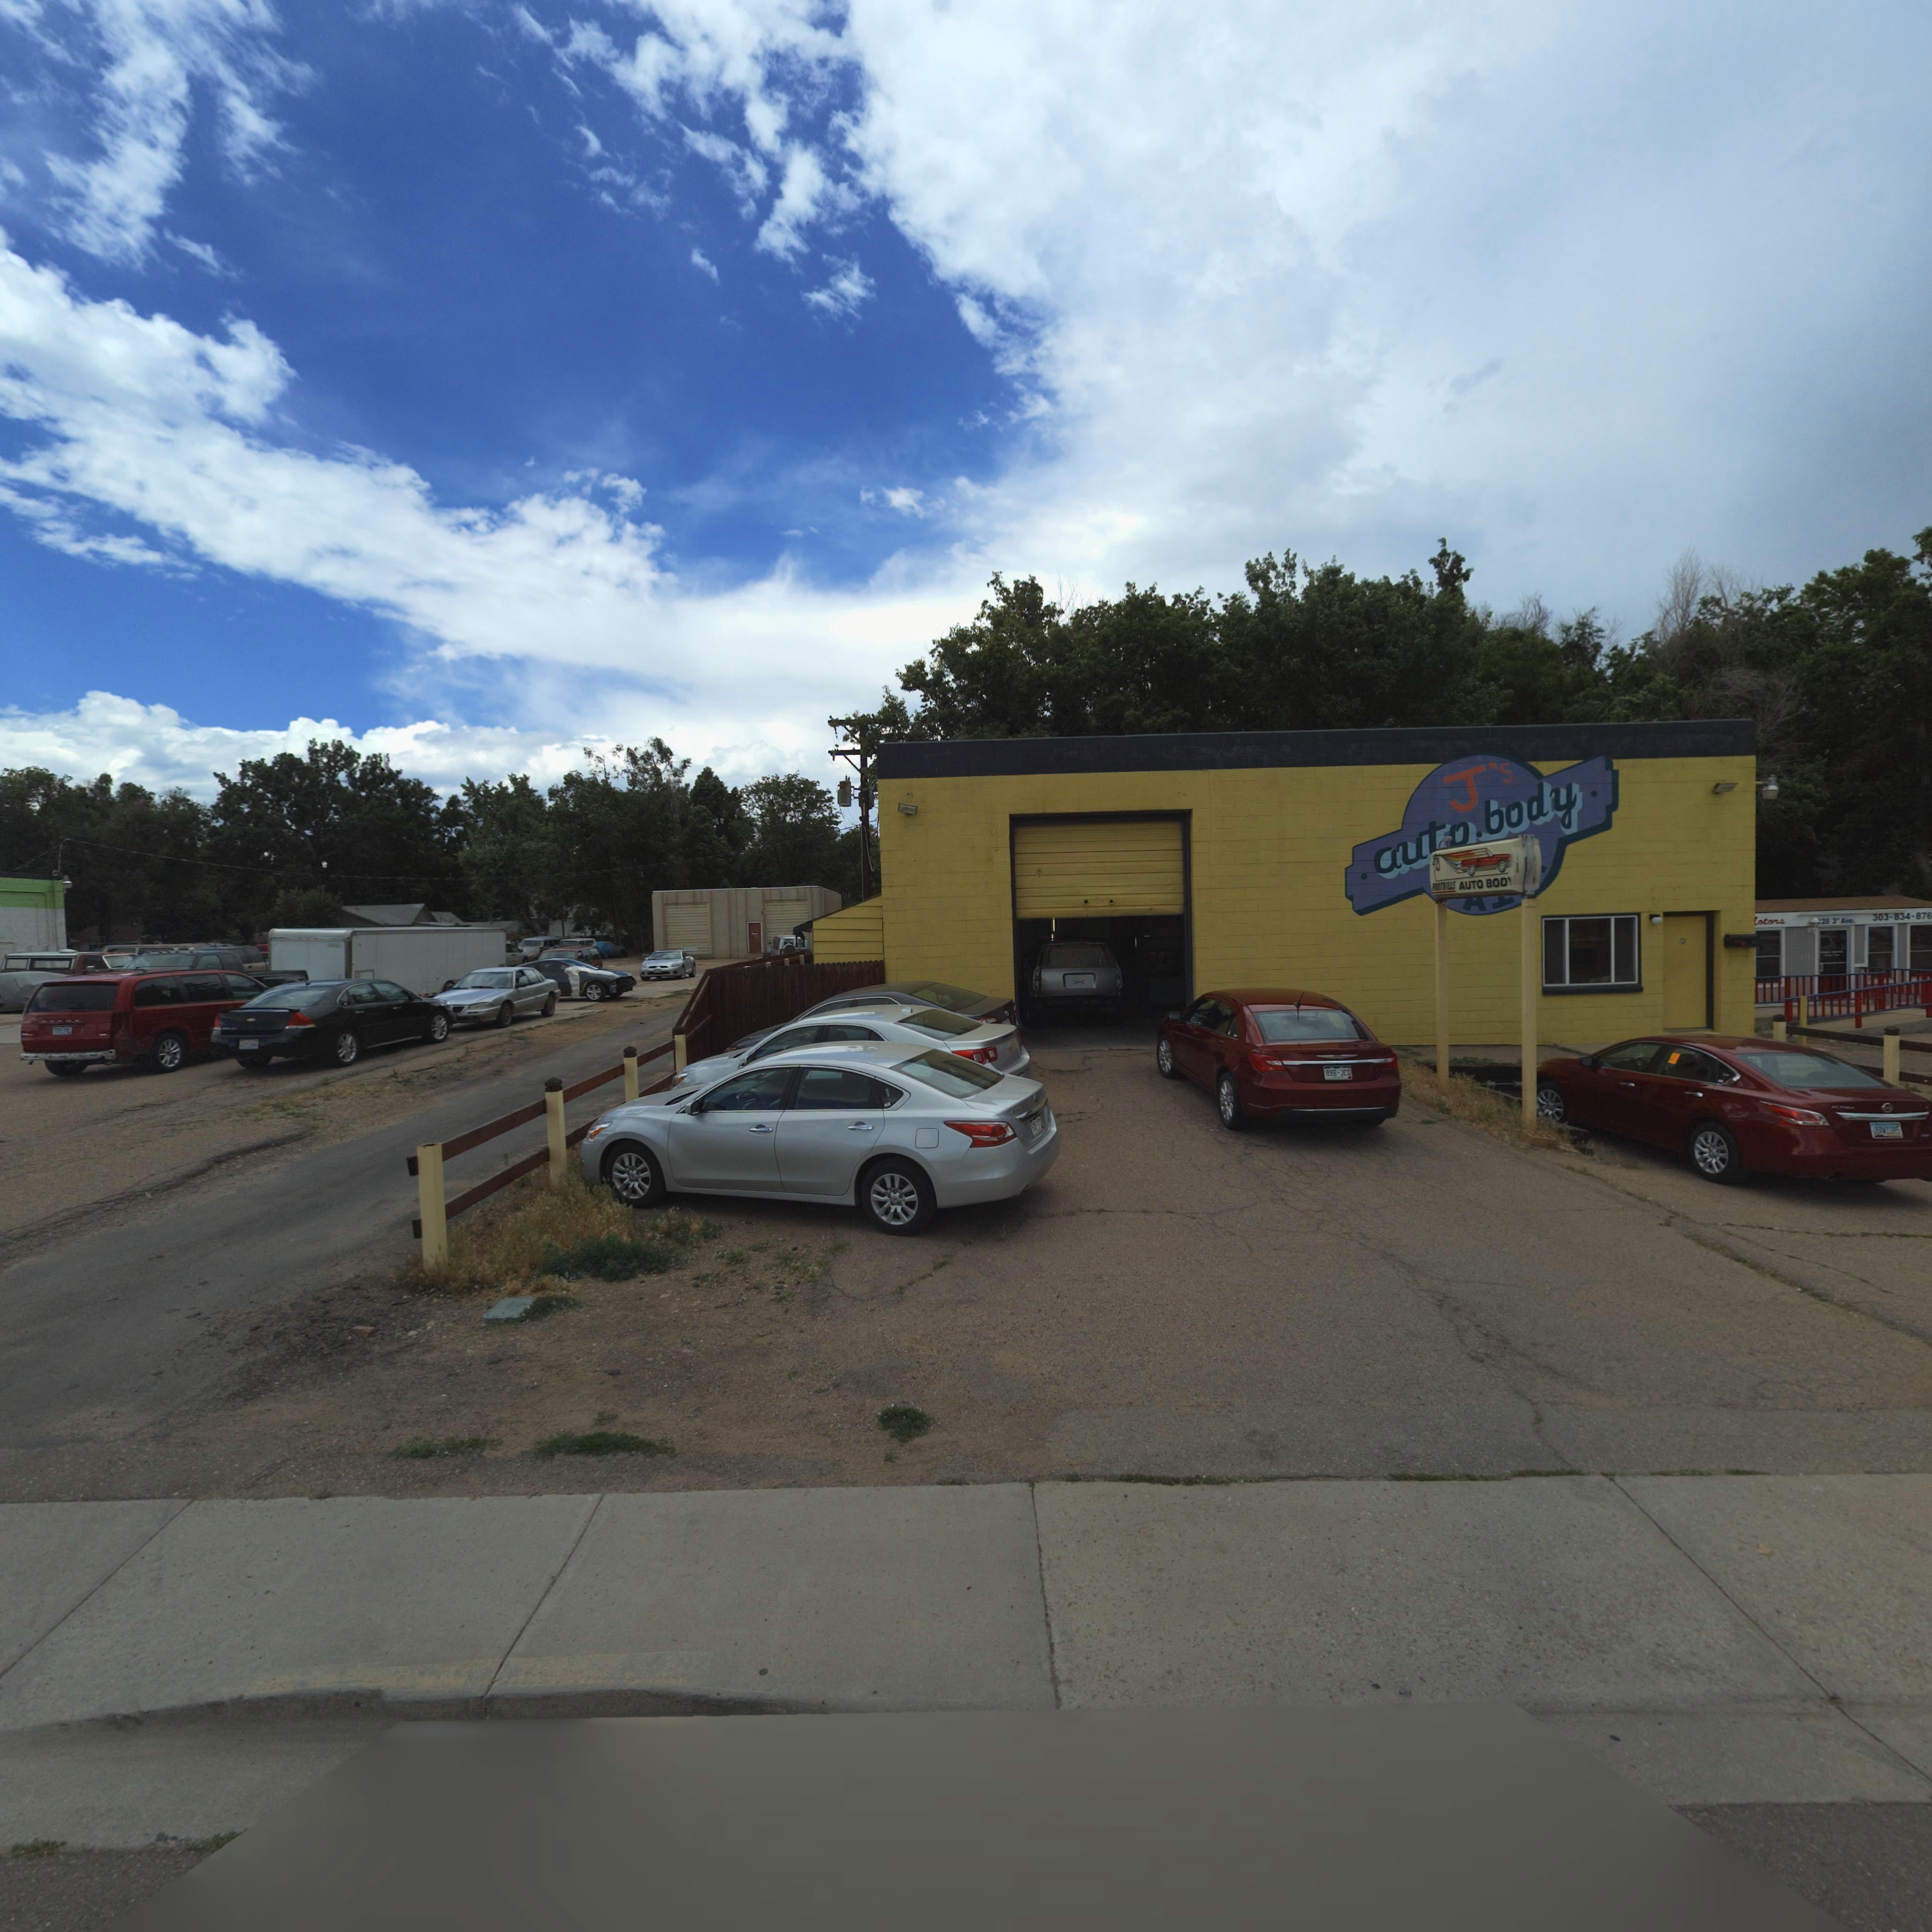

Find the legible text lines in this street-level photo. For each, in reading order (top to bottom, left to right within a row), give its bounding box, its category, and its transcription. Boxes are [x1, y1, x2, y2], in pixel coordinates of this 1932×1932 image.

[1441, 761, 1513, 813] BusinessName: J's
[1373, 781, 1584, 879] BusinessName: autobody
[1758, 918, 1787, 925] BusinessName: otors
[1821, 918, 1830, 925] StreetNumber: 2*
[1832, 917, 1855, 924] StreetName: 3rd Ave.